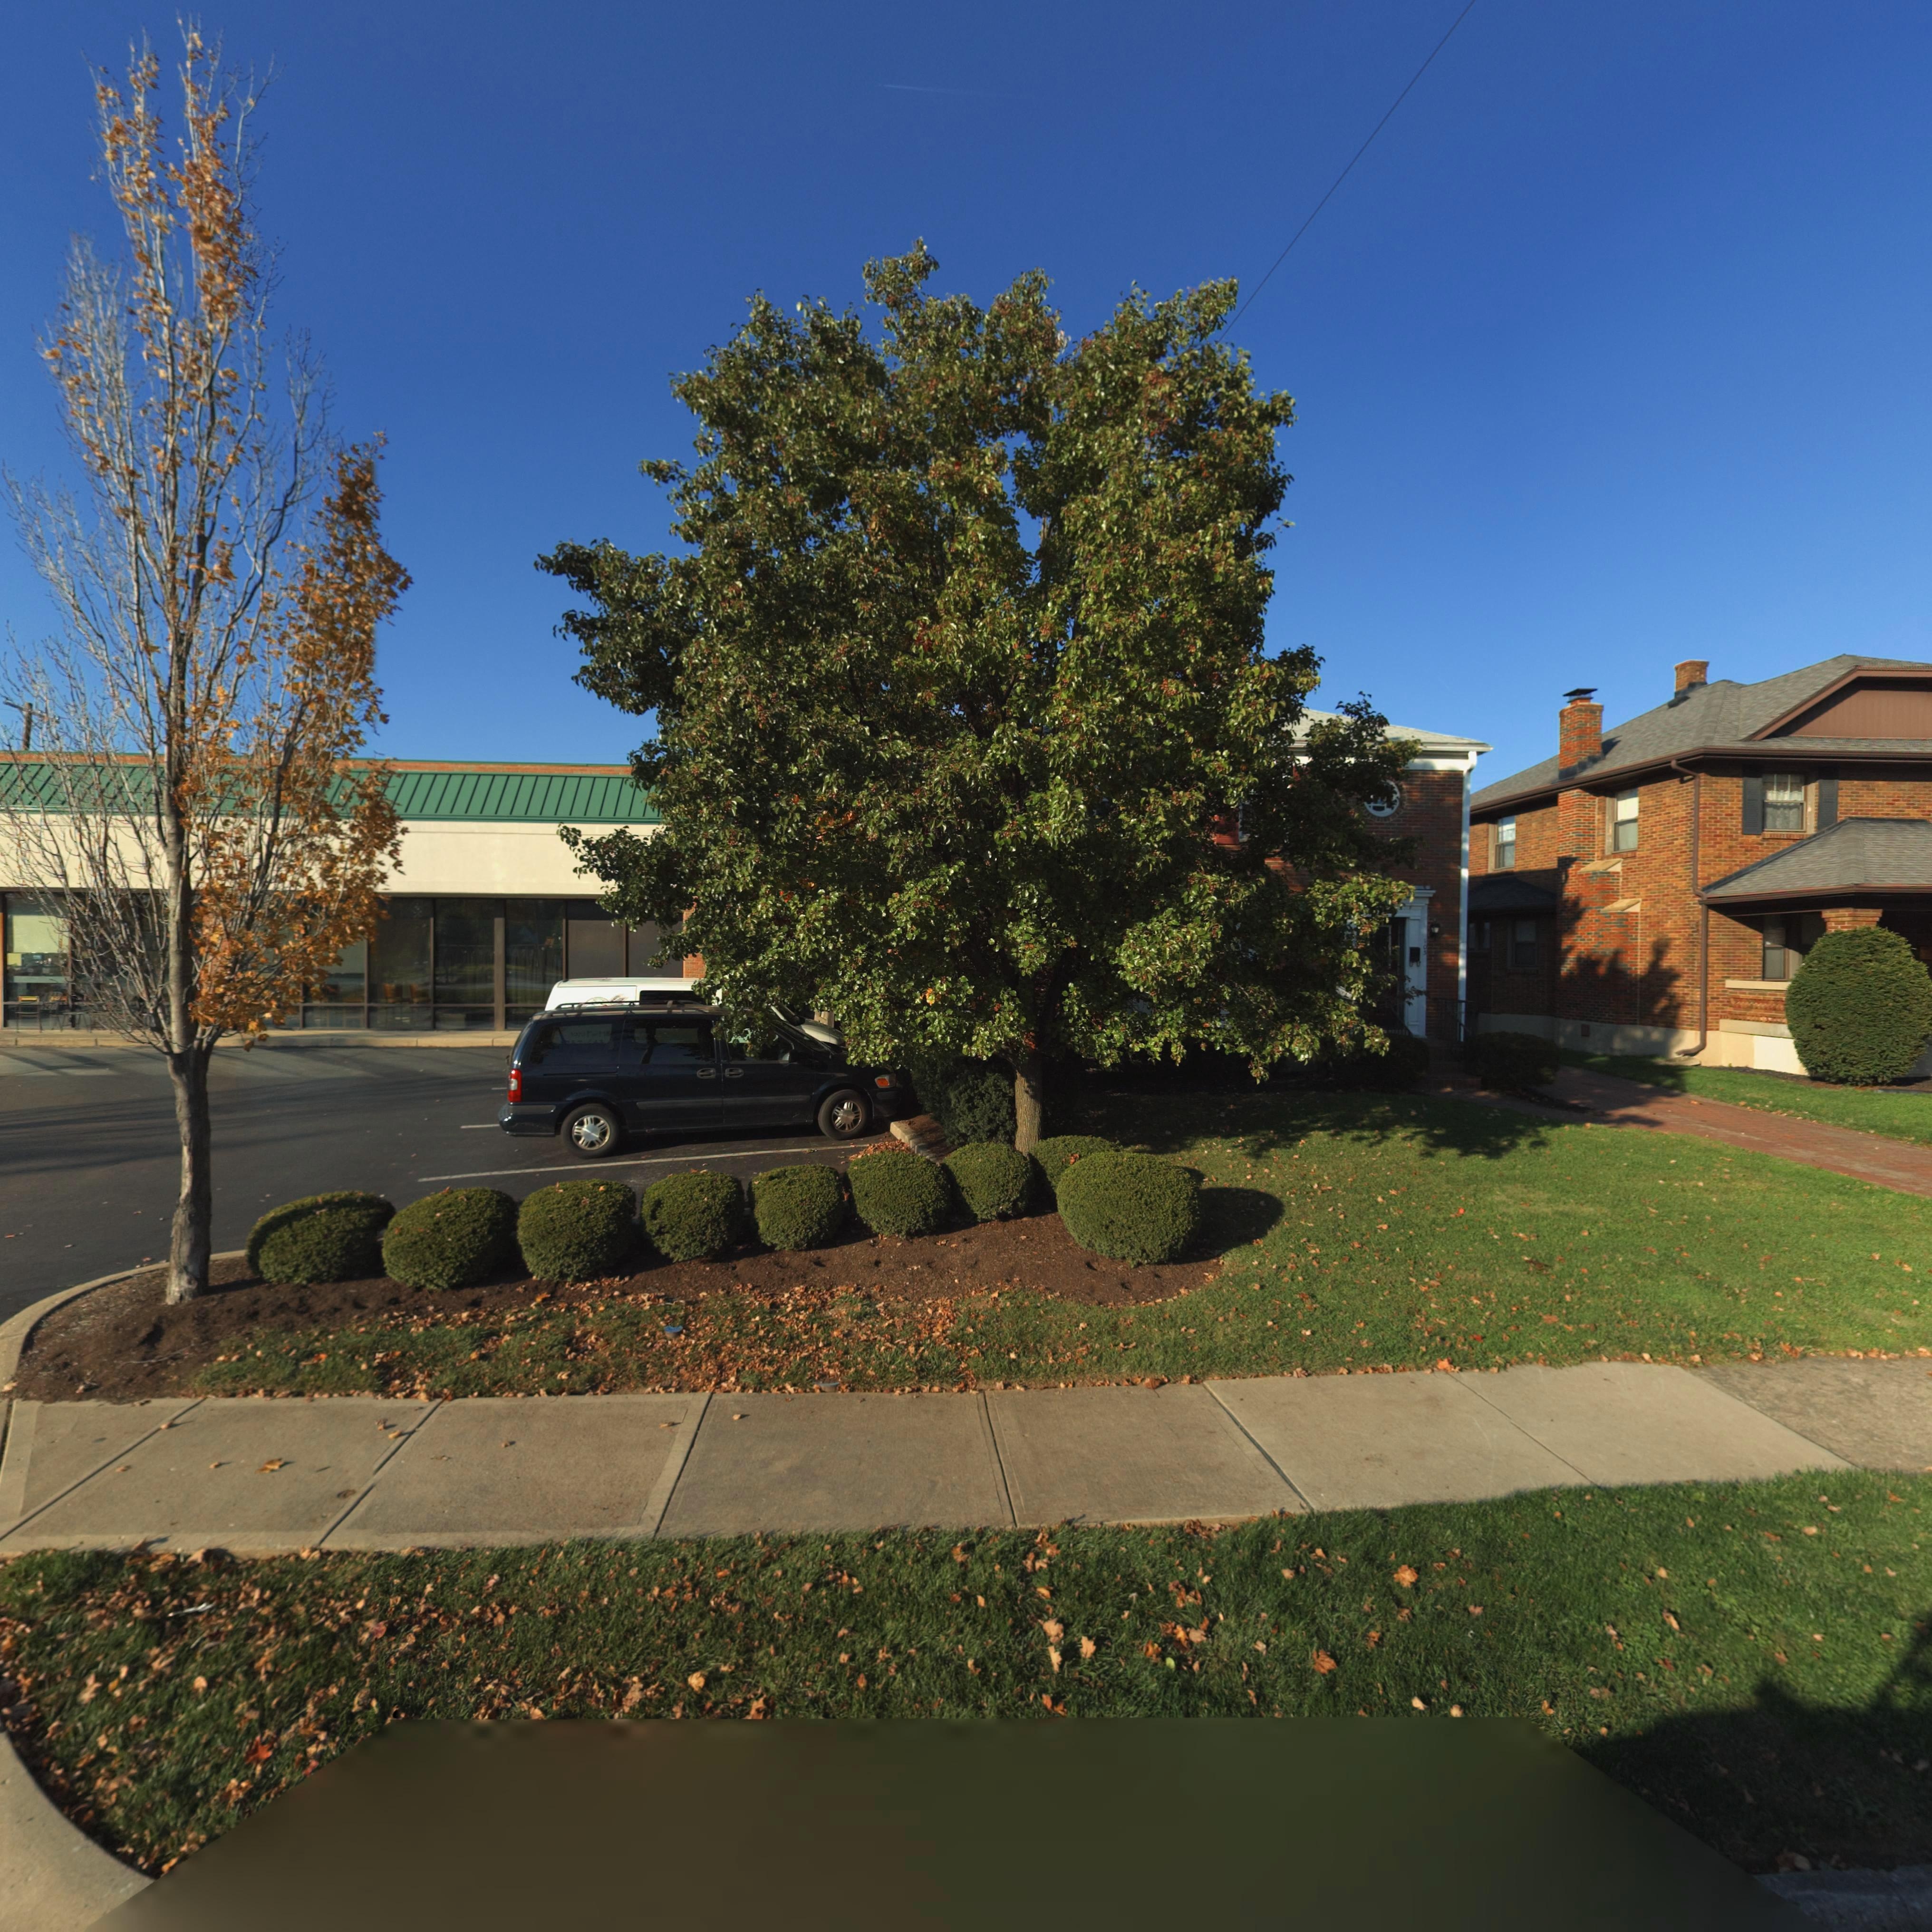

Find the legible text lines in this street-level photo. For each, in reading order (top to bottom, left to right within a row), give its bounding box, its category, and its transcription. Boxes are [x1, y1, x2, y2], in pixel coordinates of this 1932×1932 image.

[1422, 938, 1427, 956] StreetNumber: 103